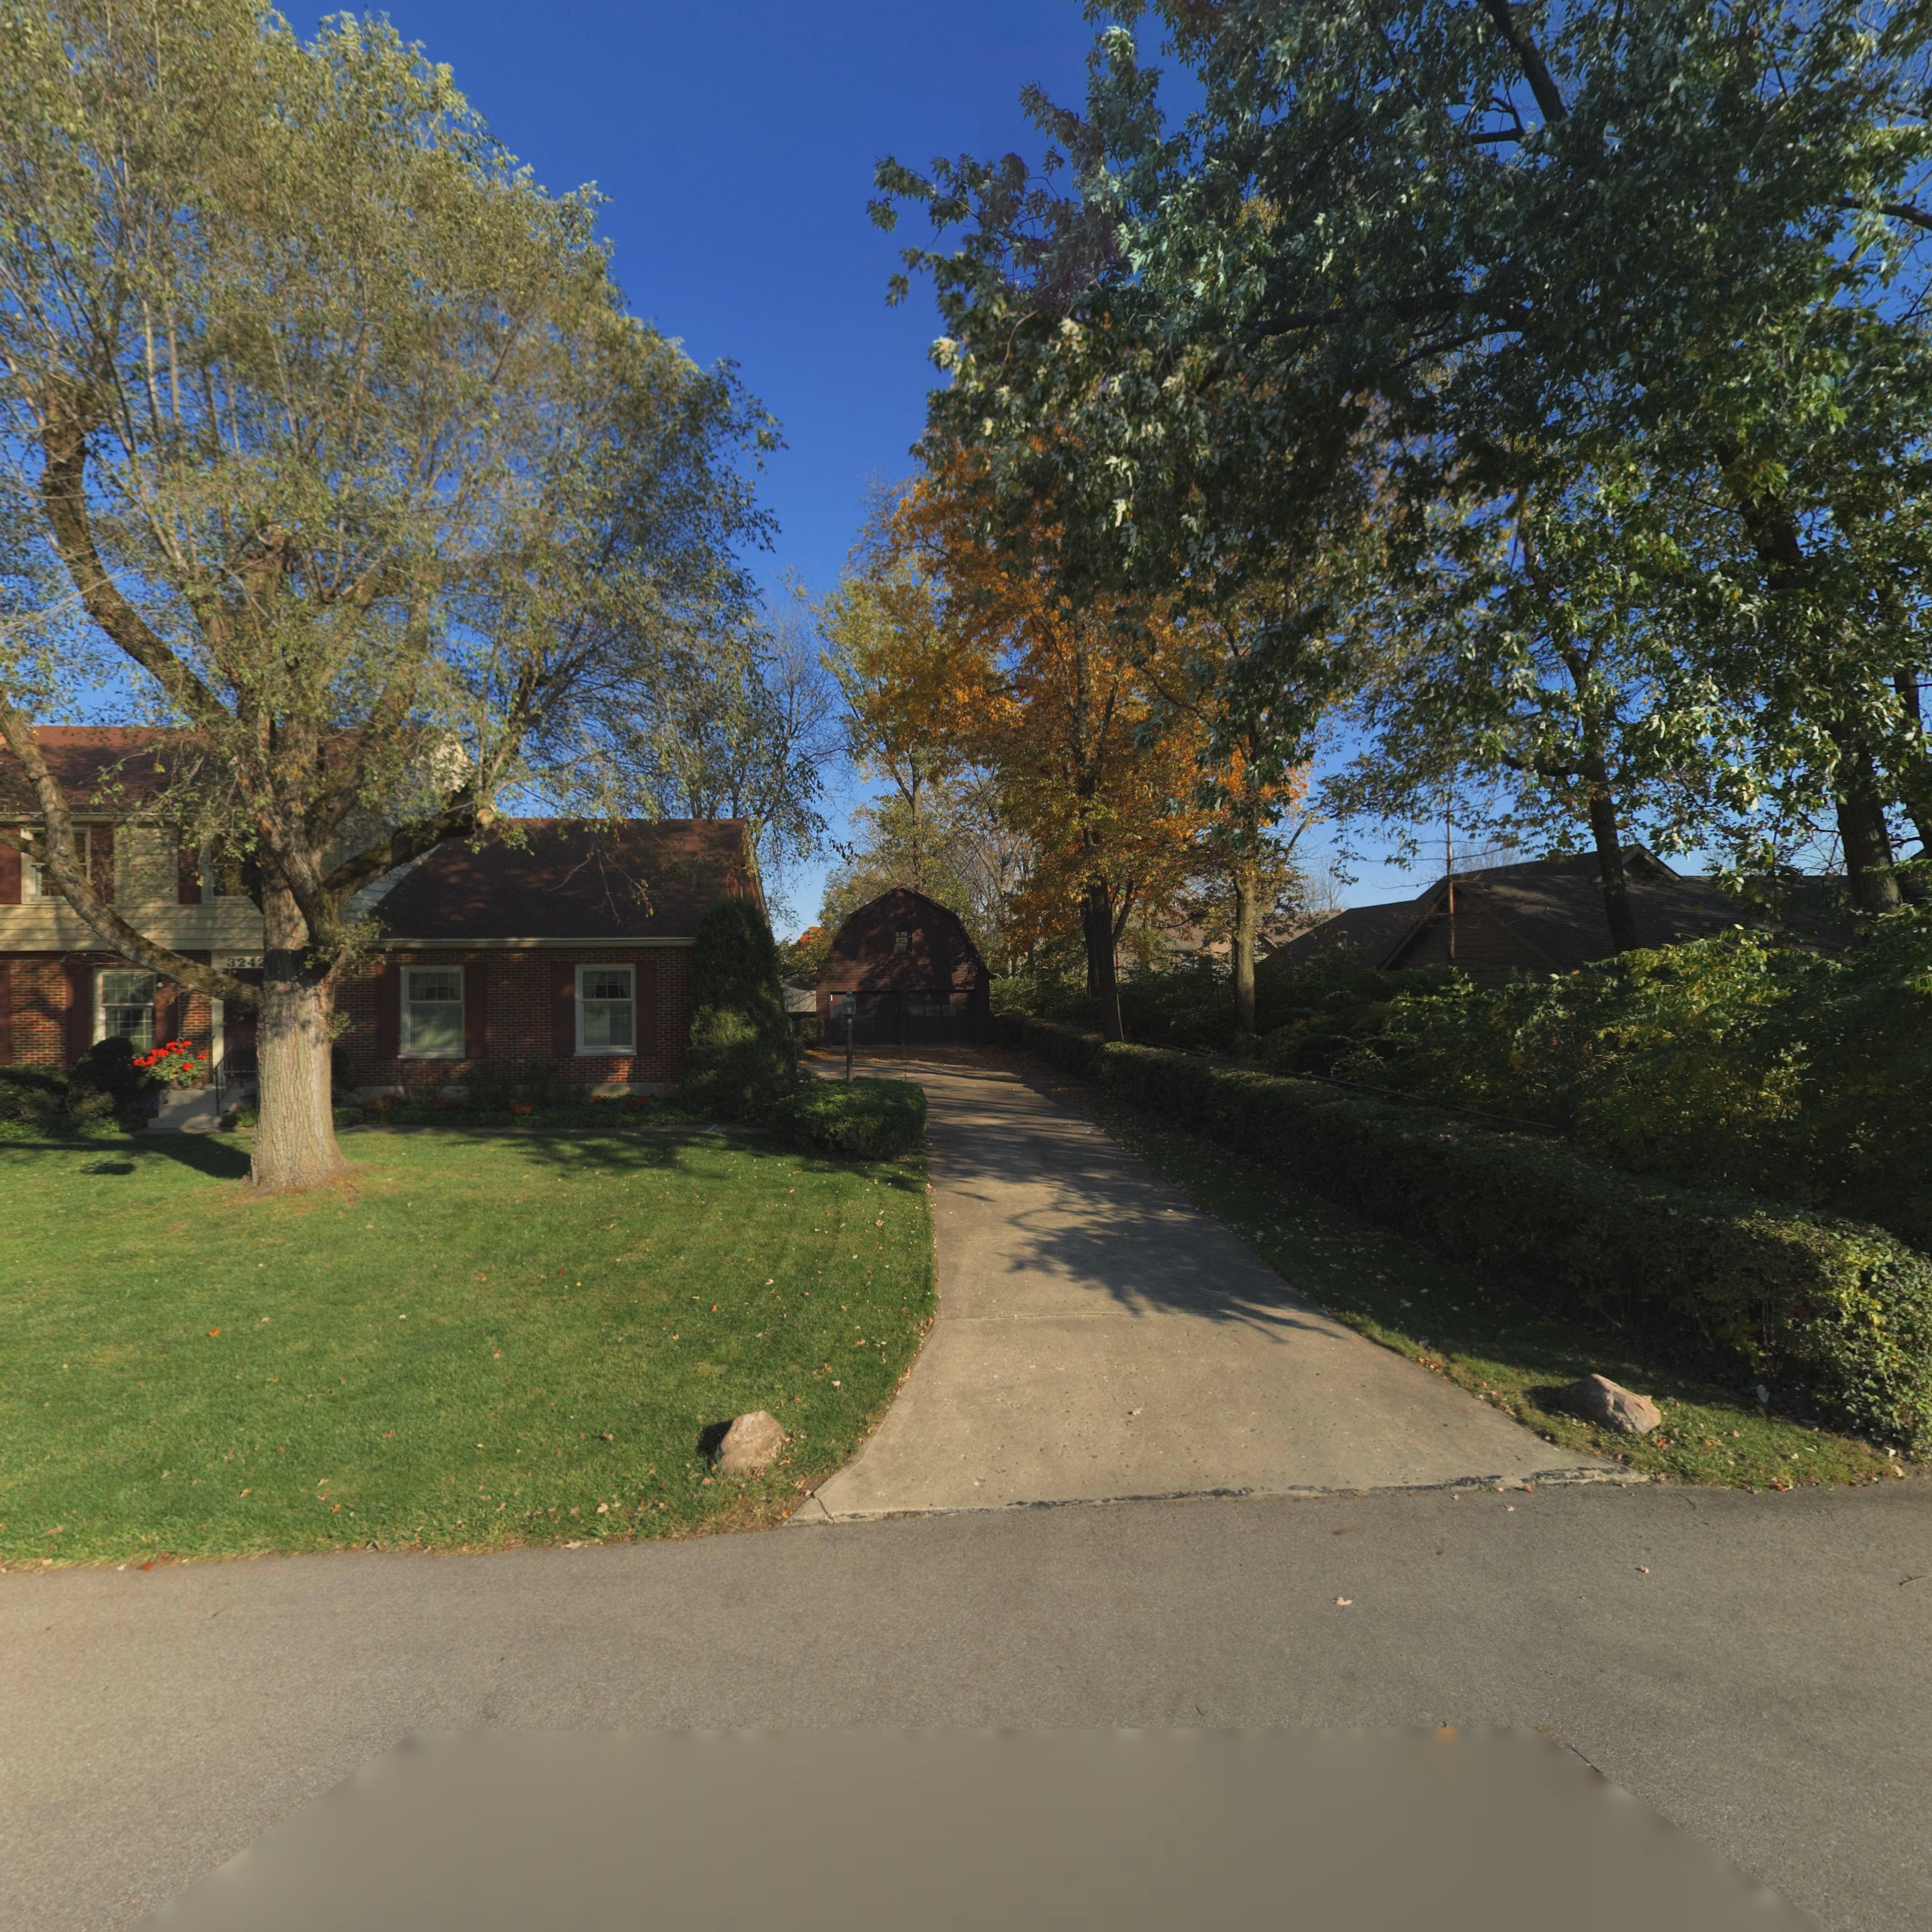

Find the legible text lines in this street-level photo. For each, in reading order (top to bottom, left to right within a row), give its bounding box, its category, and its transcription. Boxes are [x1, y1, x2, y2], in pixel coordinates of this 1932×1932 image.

[227, 957, 265, 967] StreetNumber: 3242